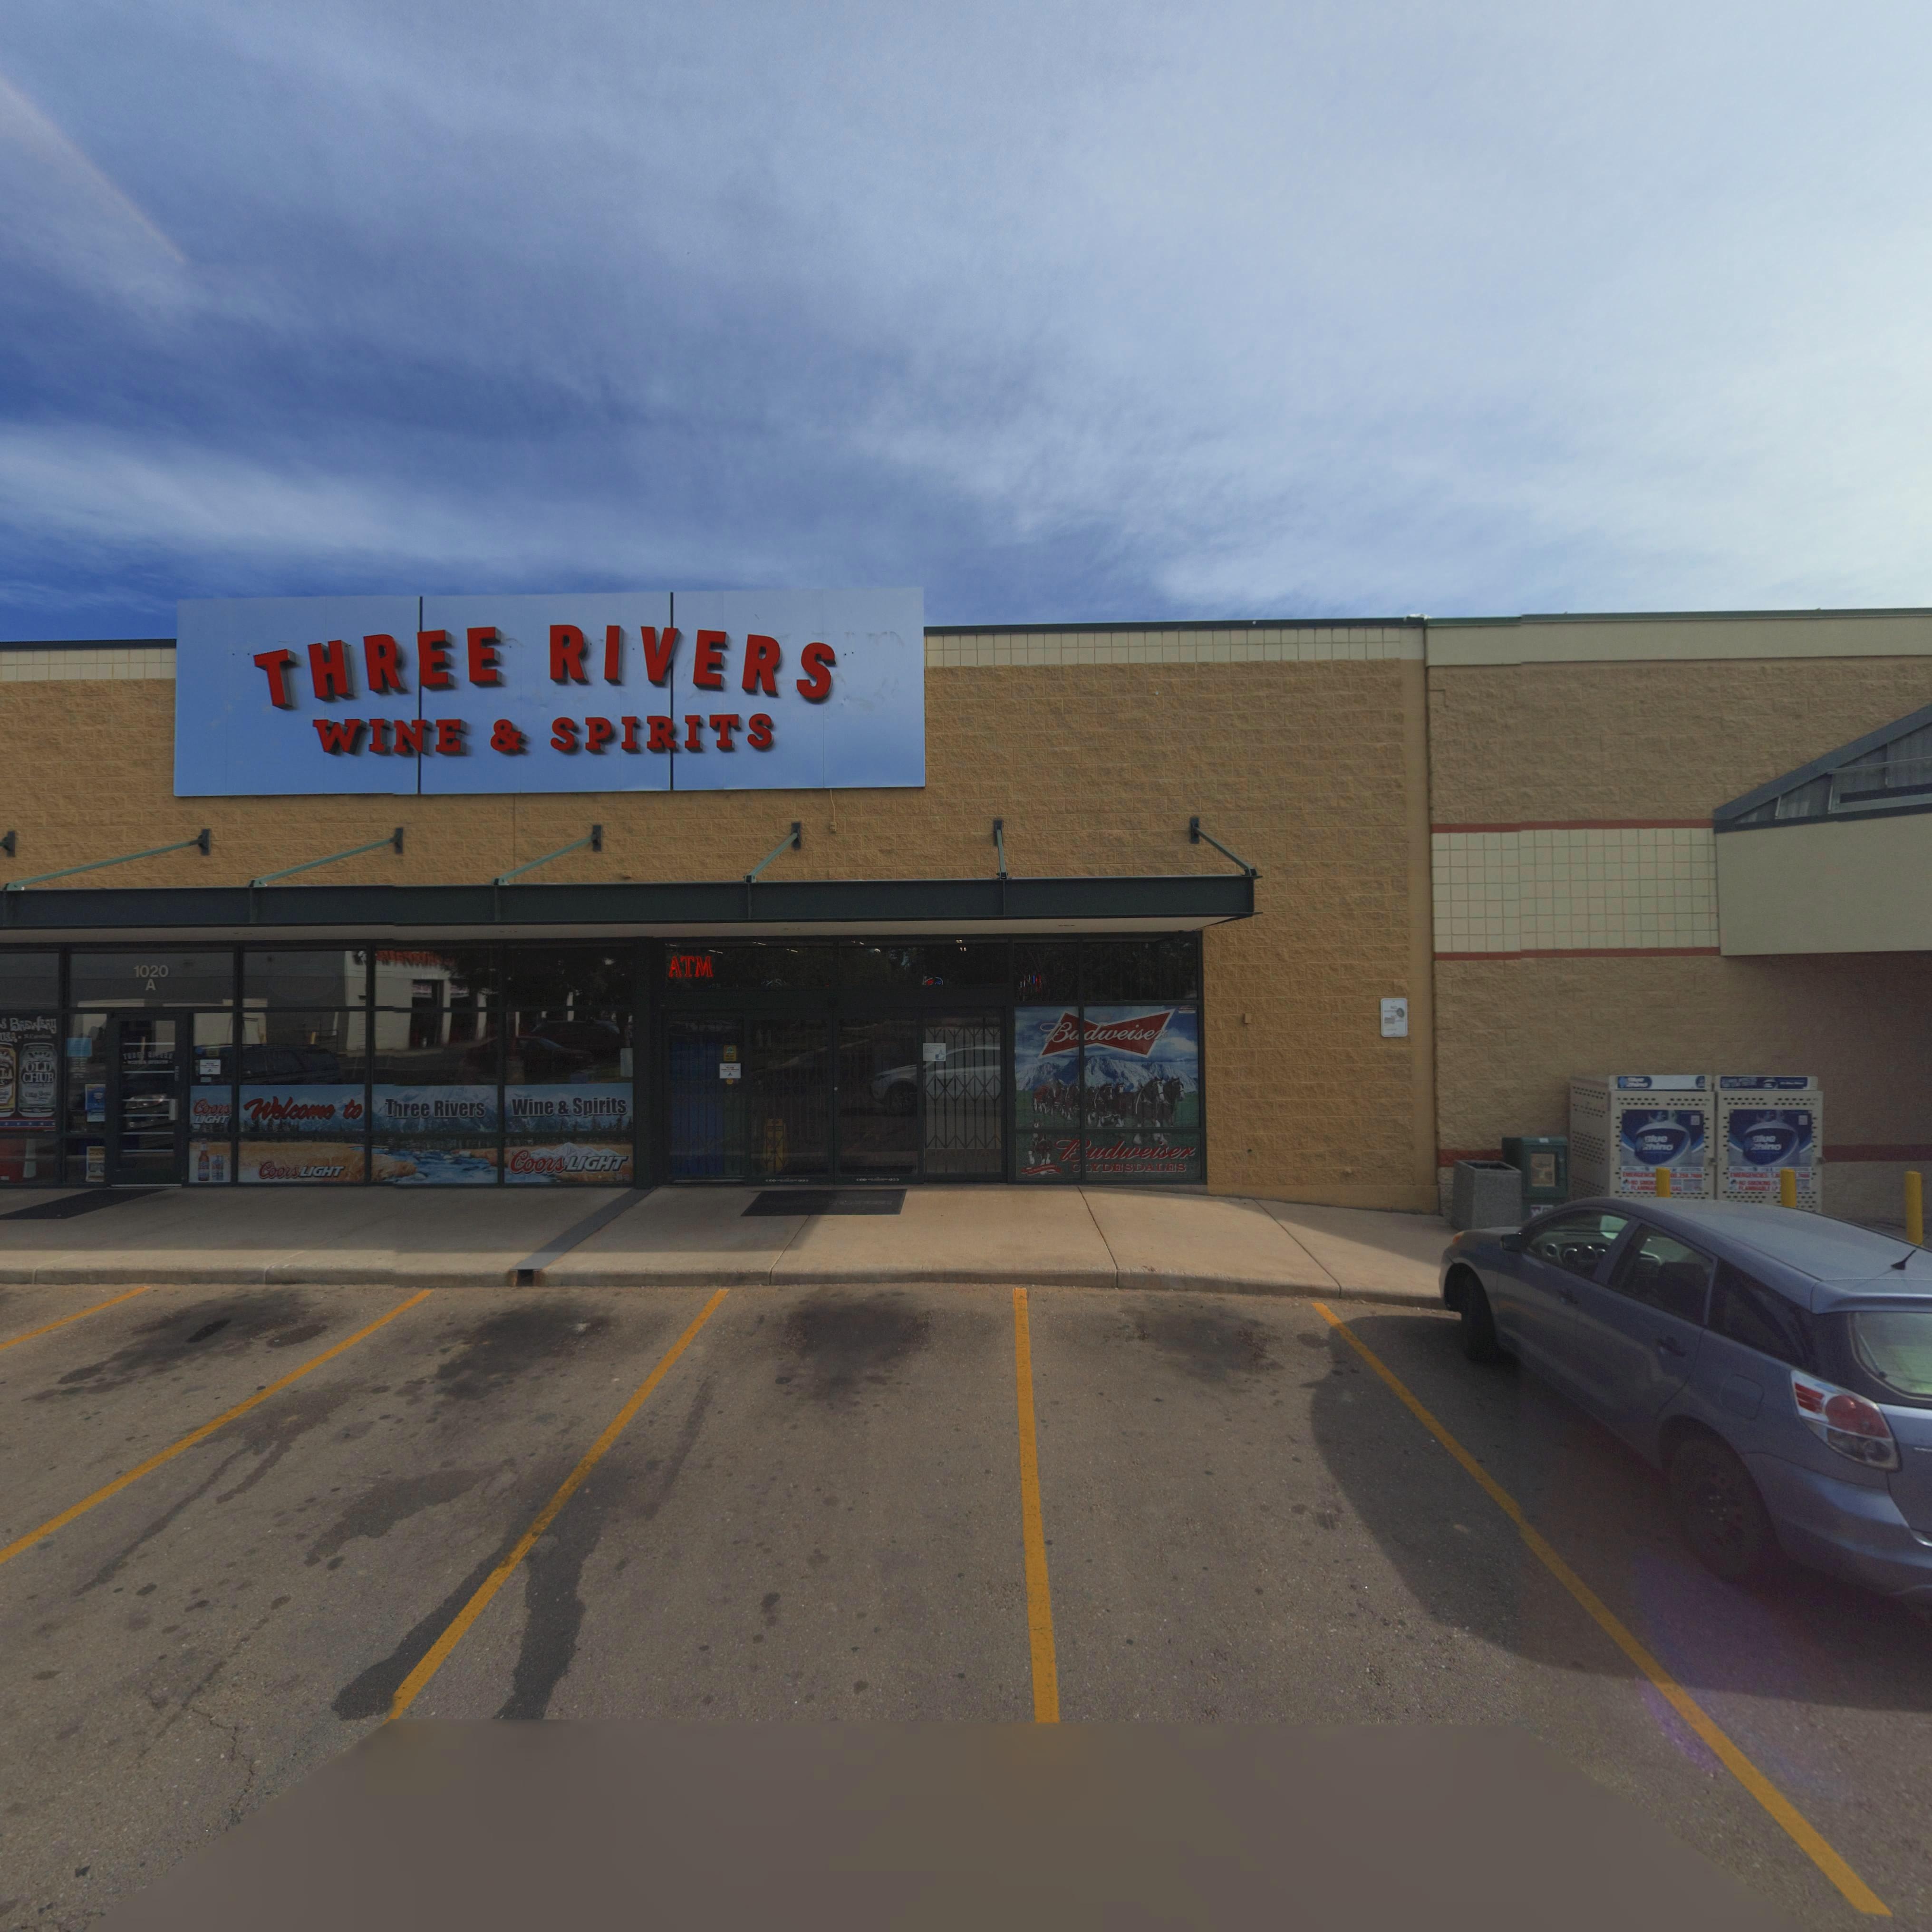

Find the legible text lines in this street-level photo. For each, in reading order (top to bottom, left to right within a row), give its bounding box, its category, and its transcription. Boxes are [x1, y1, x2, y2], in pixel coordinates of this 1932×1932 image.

[253, 625, 837, 708] BusinessName: THREE RIVERS
[310, 711, 772, 753] BusinessName: WINE & SPIRITS
[133, 965, 168, 977] StreetNumber: 1020
[123, 1051, 173, 1060] BusinessName: T**** ******
[385, 1098, 486, 1118] BusinessName: Three Rivers
[511, 1097, 627, 1117] BusinessName: Wine & Spirits